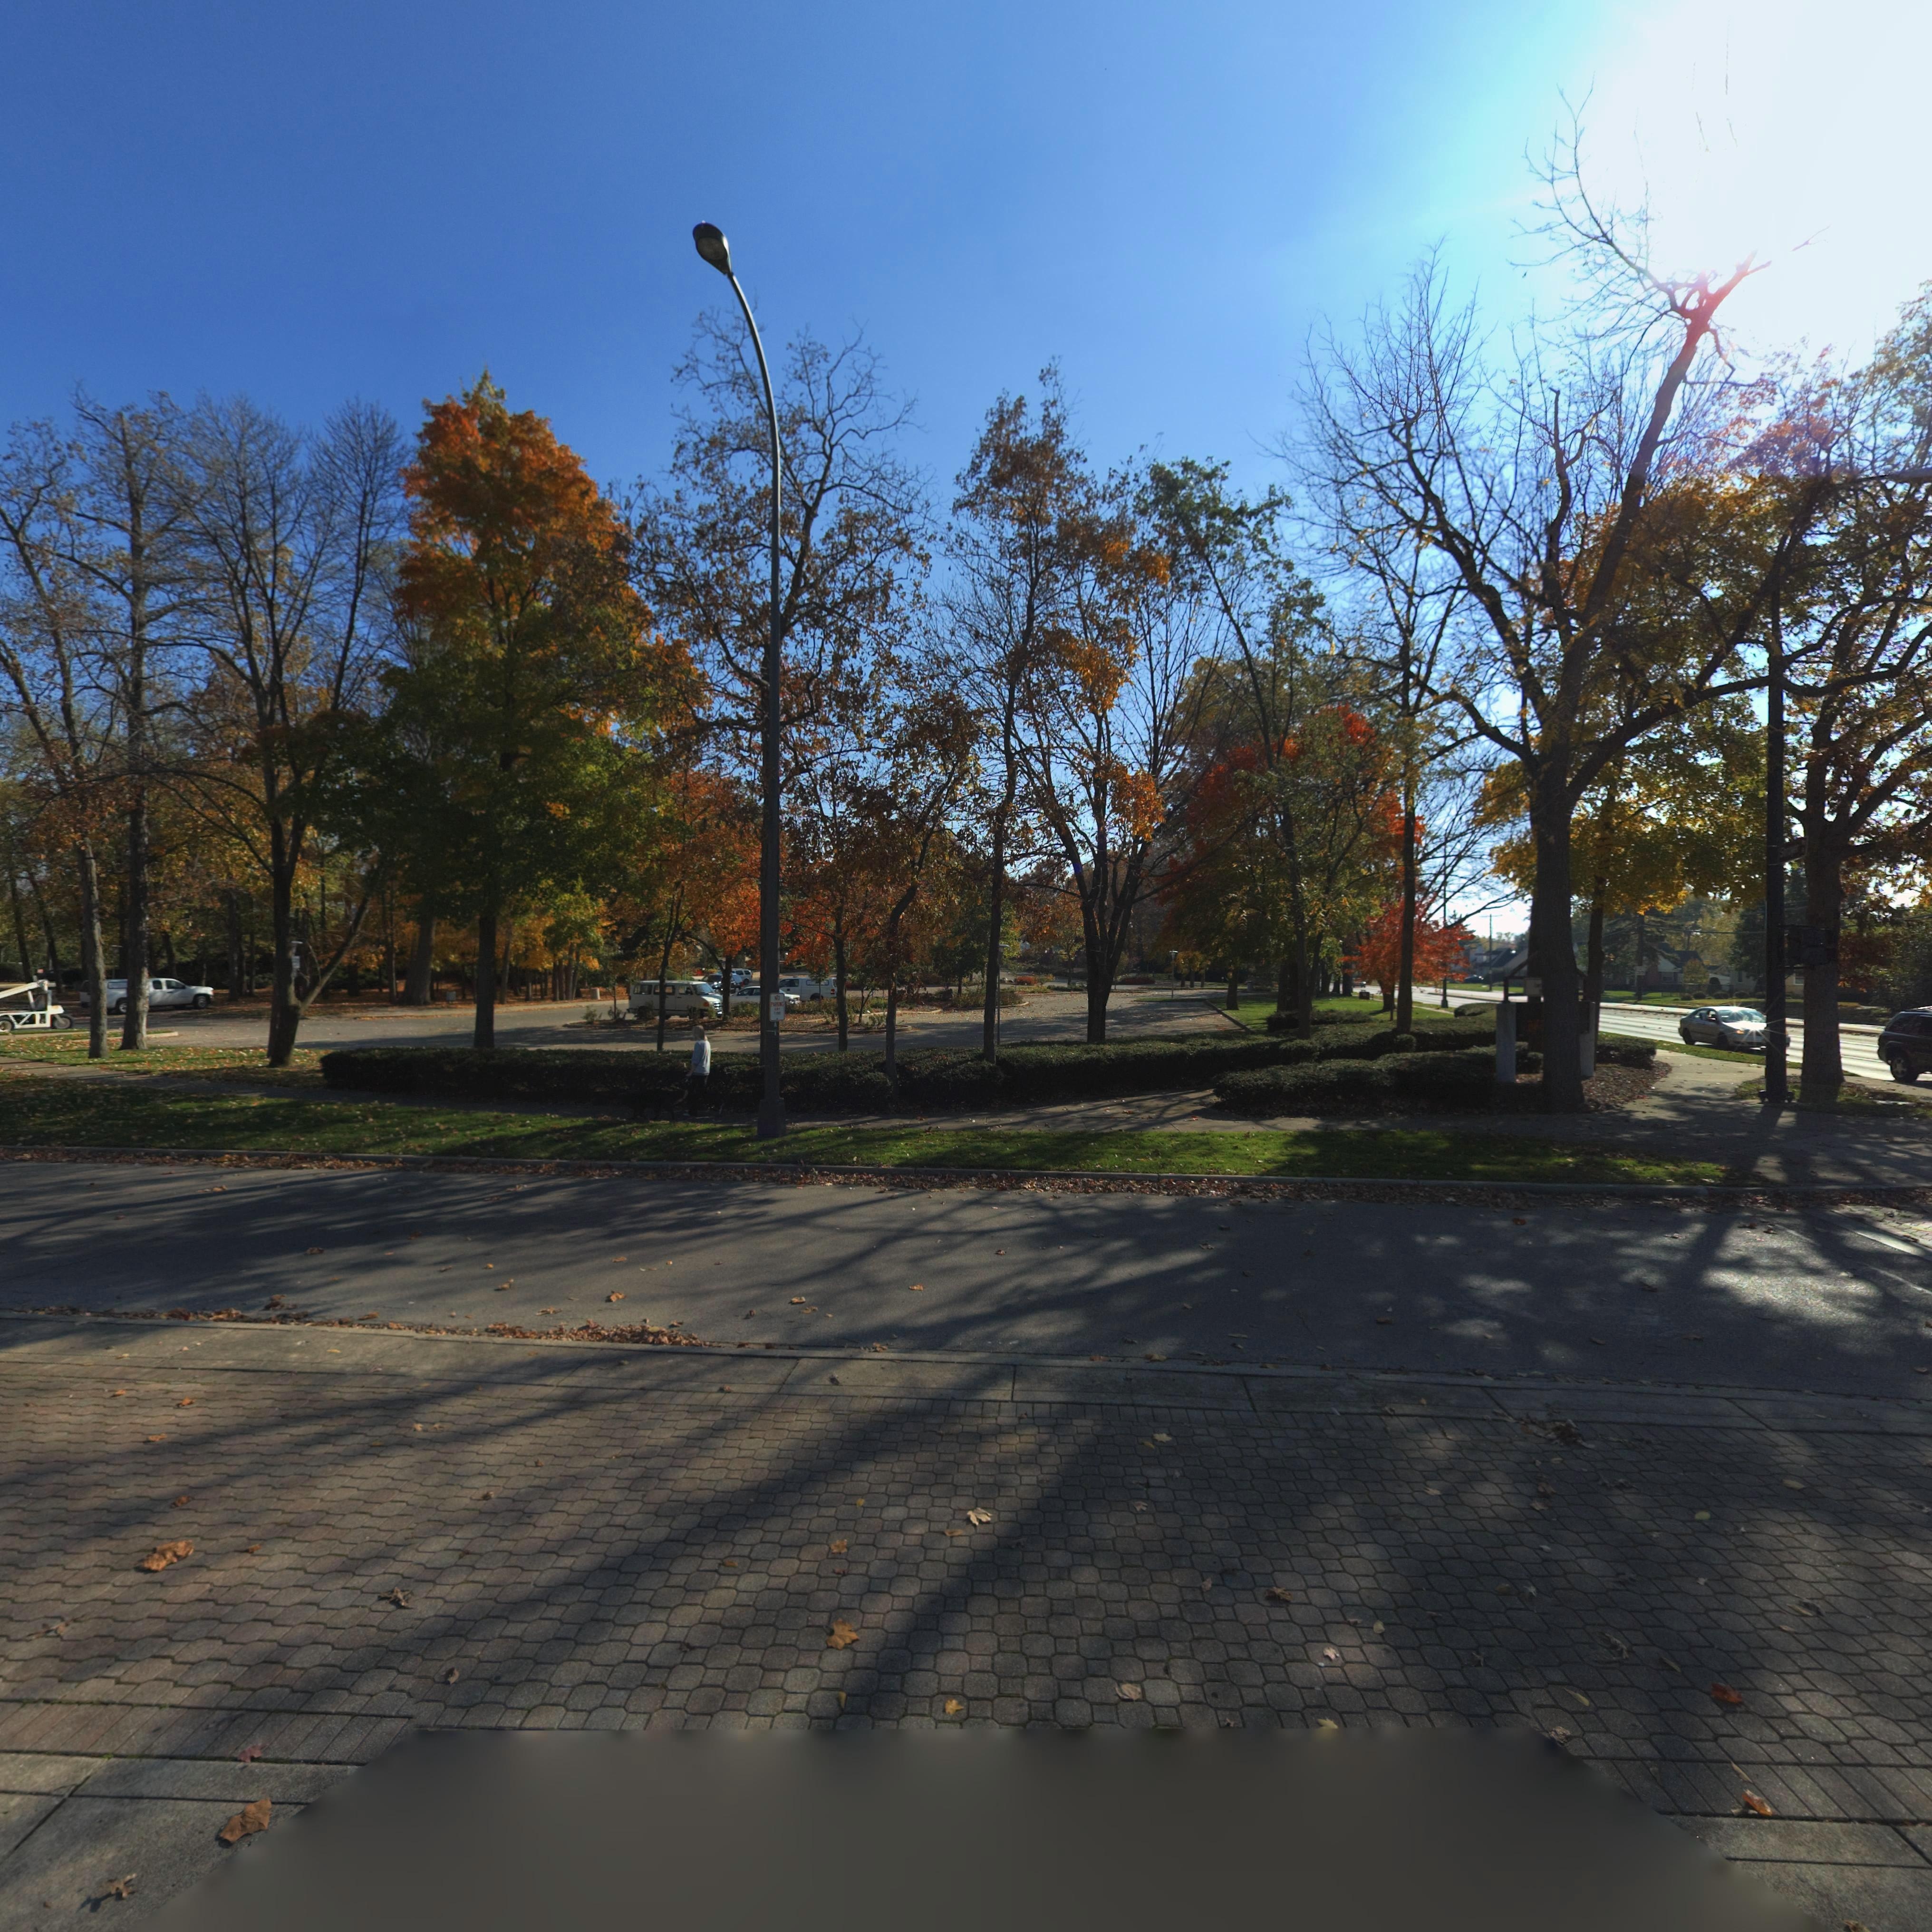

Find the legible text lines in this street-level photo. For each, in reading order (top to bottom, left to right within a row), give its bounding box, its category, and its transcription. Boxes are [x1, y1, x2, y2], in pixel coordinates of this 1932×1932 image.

[774, 995, 780, 1001] None: NO
[770, 1002, 783, 1007] None: PARKING
[773, 1007, 780, 1010] None: ANY
[773, 1011, 781, 1015] None: TIME